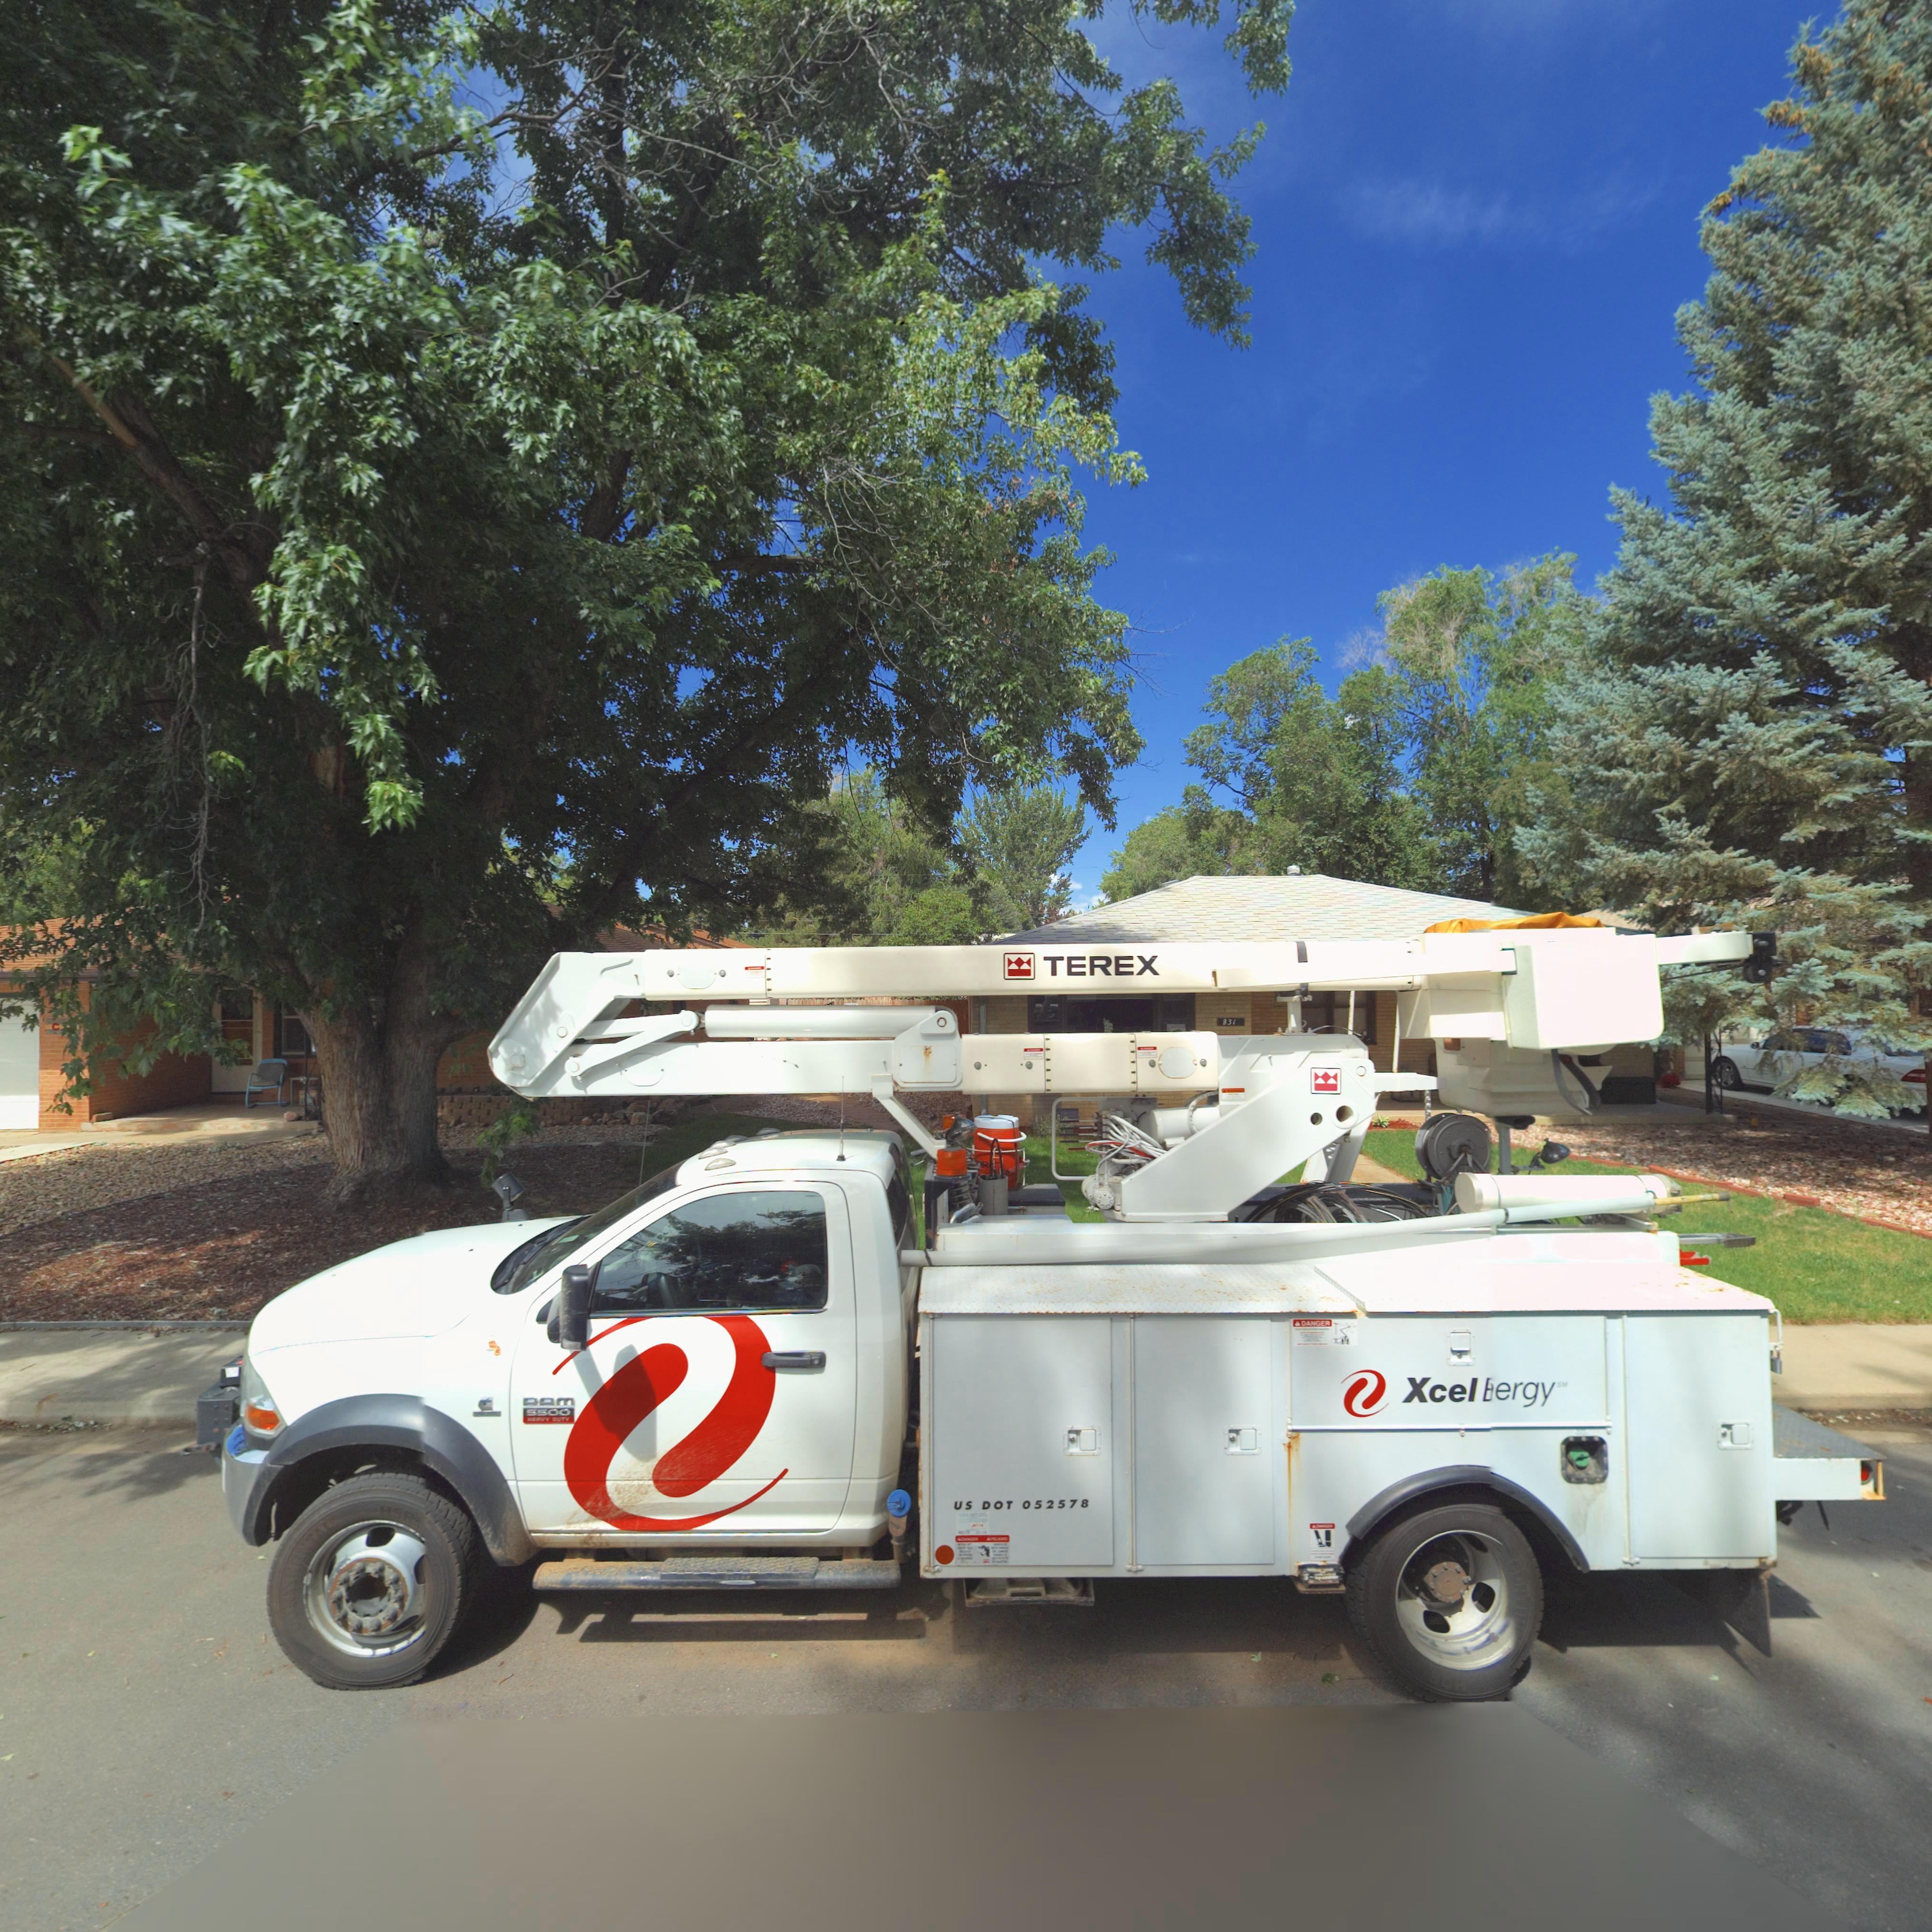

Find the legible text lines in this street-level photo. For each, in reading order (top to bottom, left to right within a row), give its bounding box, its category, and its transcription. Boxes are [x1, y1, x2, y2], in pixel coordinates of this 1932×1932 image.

[1222, 1018, 1236, 1025] StreetNumber: 931